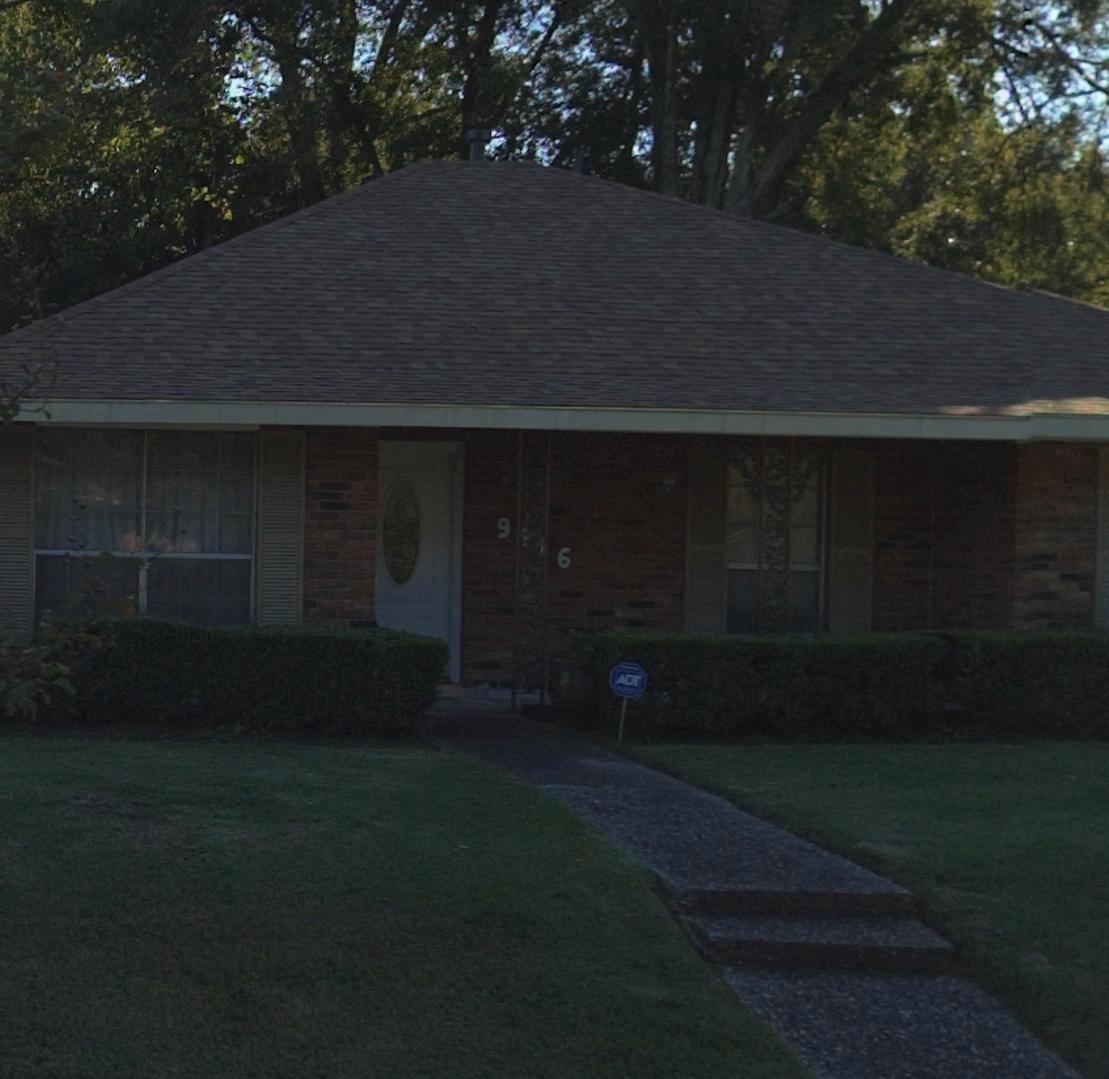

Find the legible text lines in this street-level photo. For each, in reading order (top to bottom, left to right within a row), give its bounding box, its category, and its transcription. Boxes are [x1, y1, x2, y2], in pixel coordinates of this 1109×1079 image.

[497, 517, 572, 574] StreetNumber: 9416
[616, 672, 643, 687] None: ADT